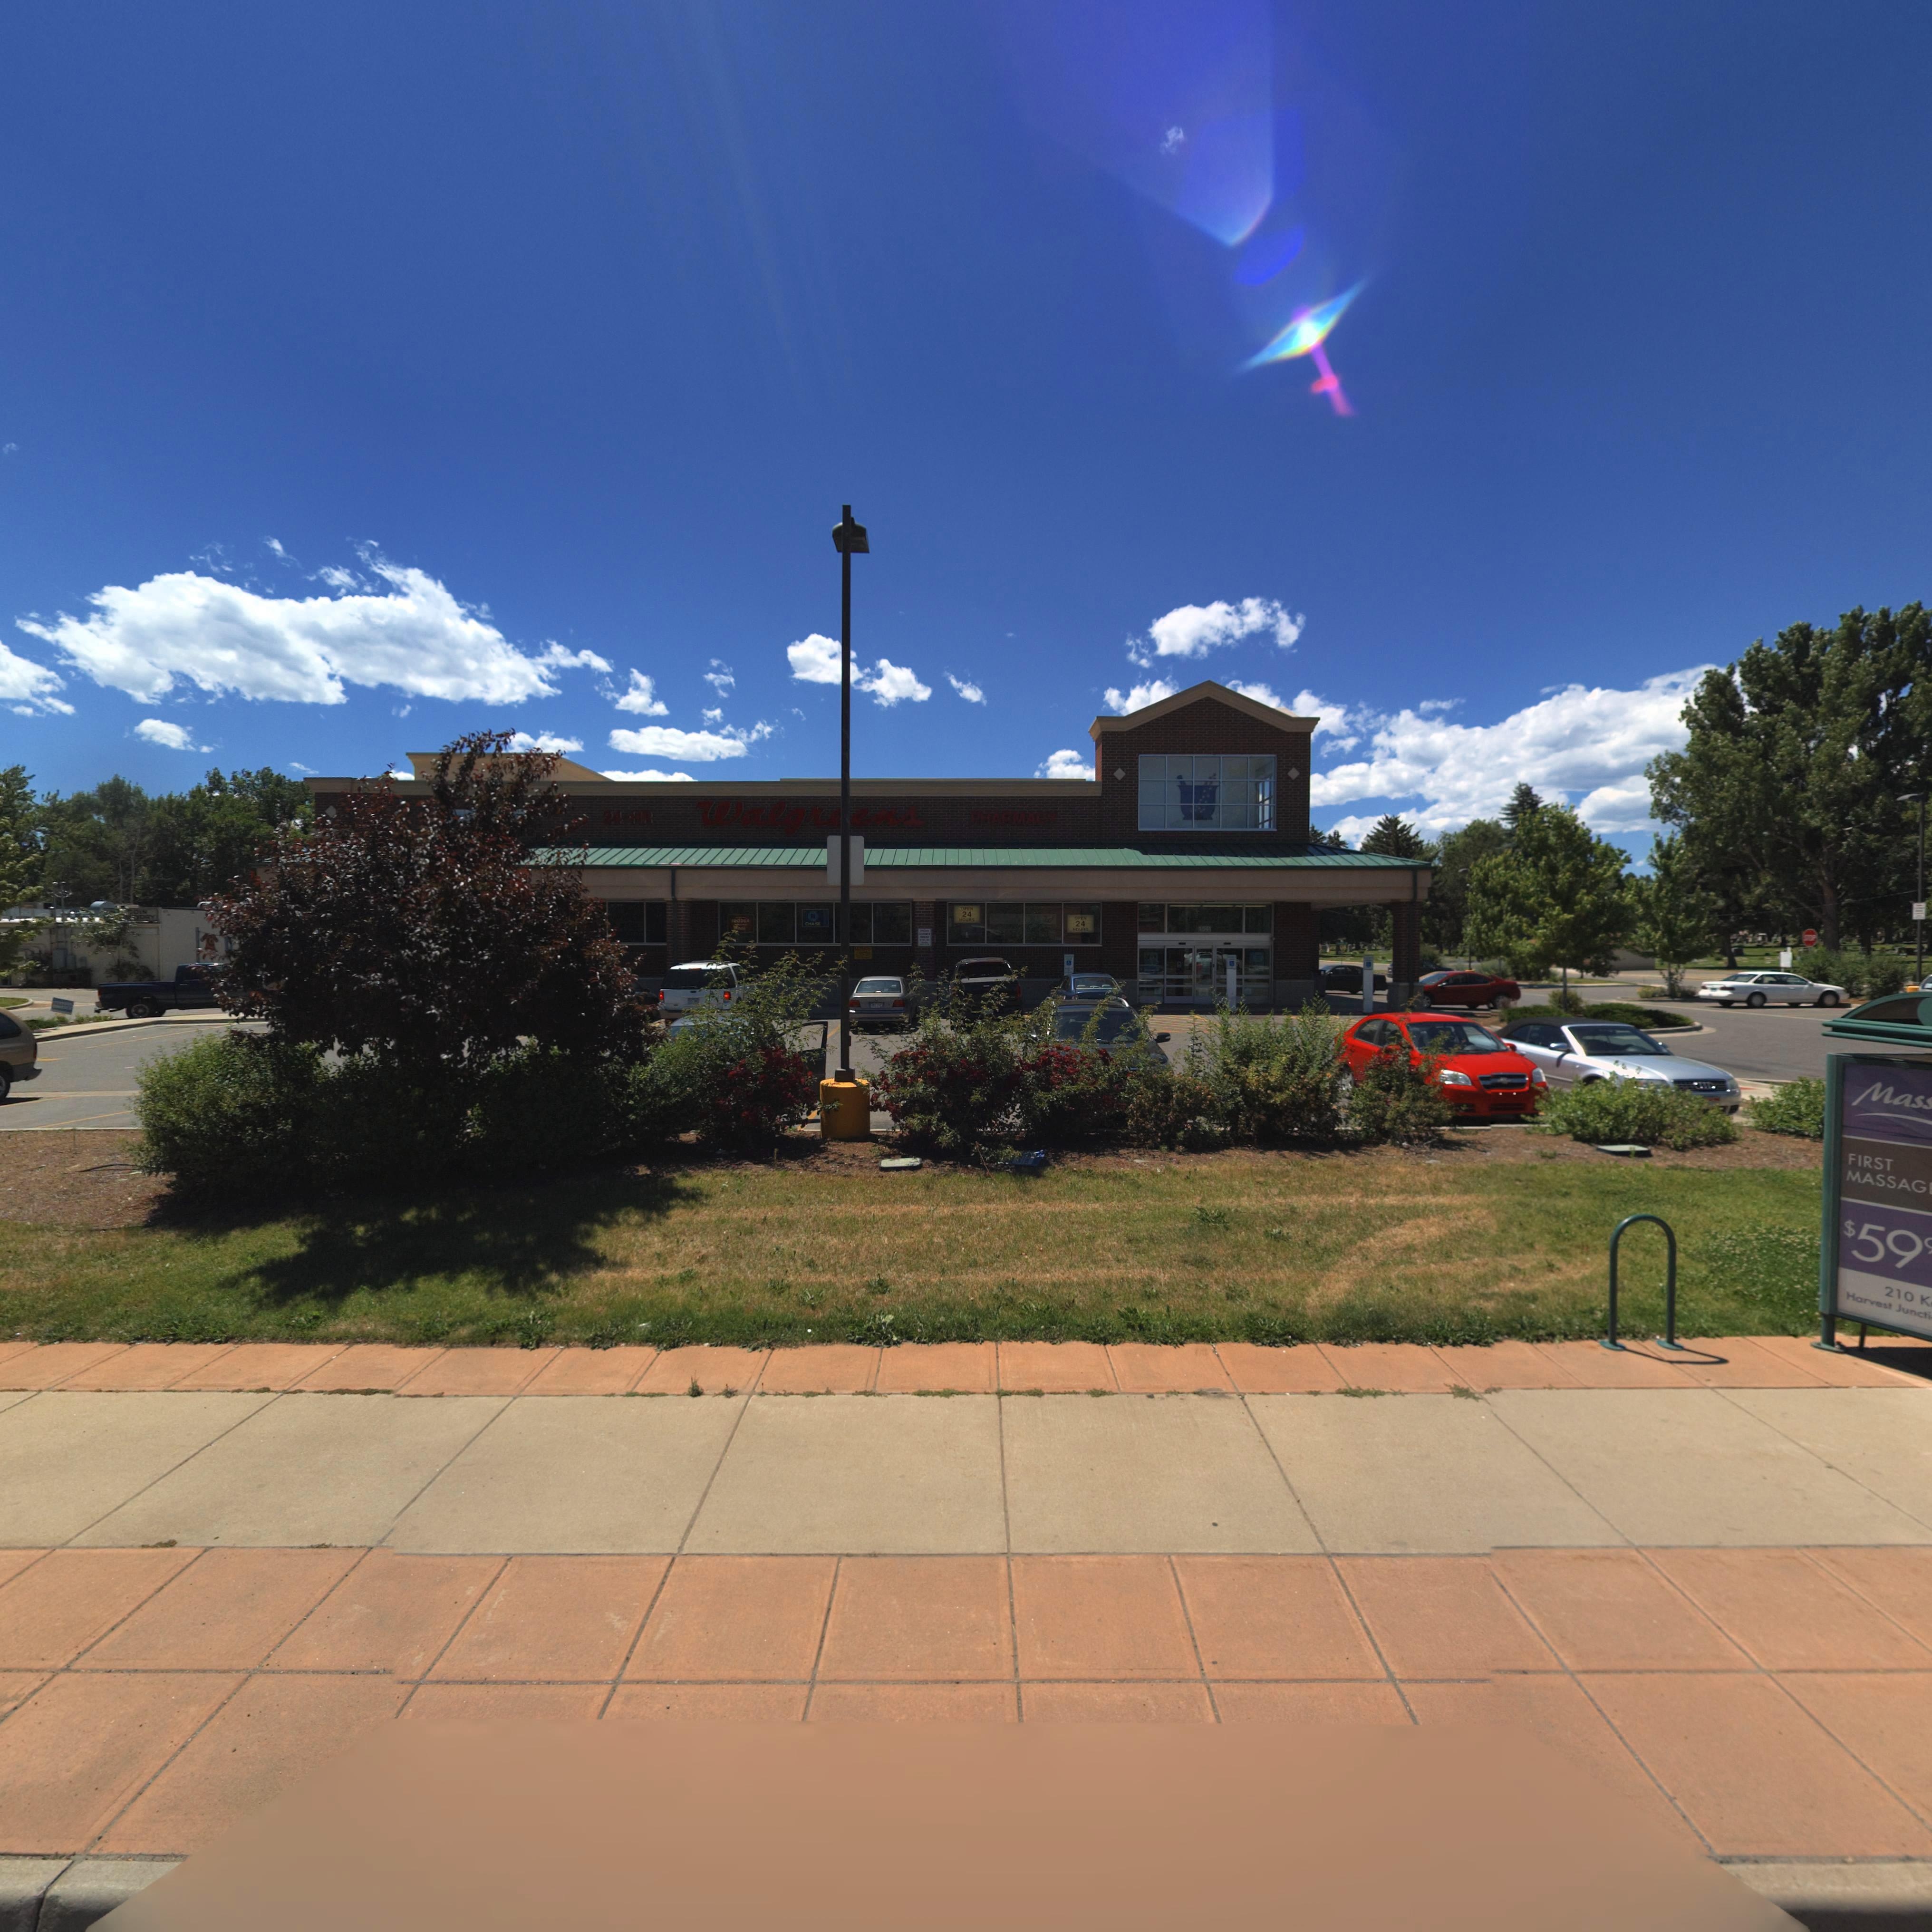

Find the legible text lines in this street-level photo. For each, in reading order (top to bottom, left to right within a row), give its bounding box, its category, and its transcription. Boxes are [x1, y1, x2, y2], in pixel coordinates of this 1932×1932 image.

[695, 800, 926, 835] BusinessName: Walgr*ens
[1198, 925, 1211, 932] StreetNumber: 1041